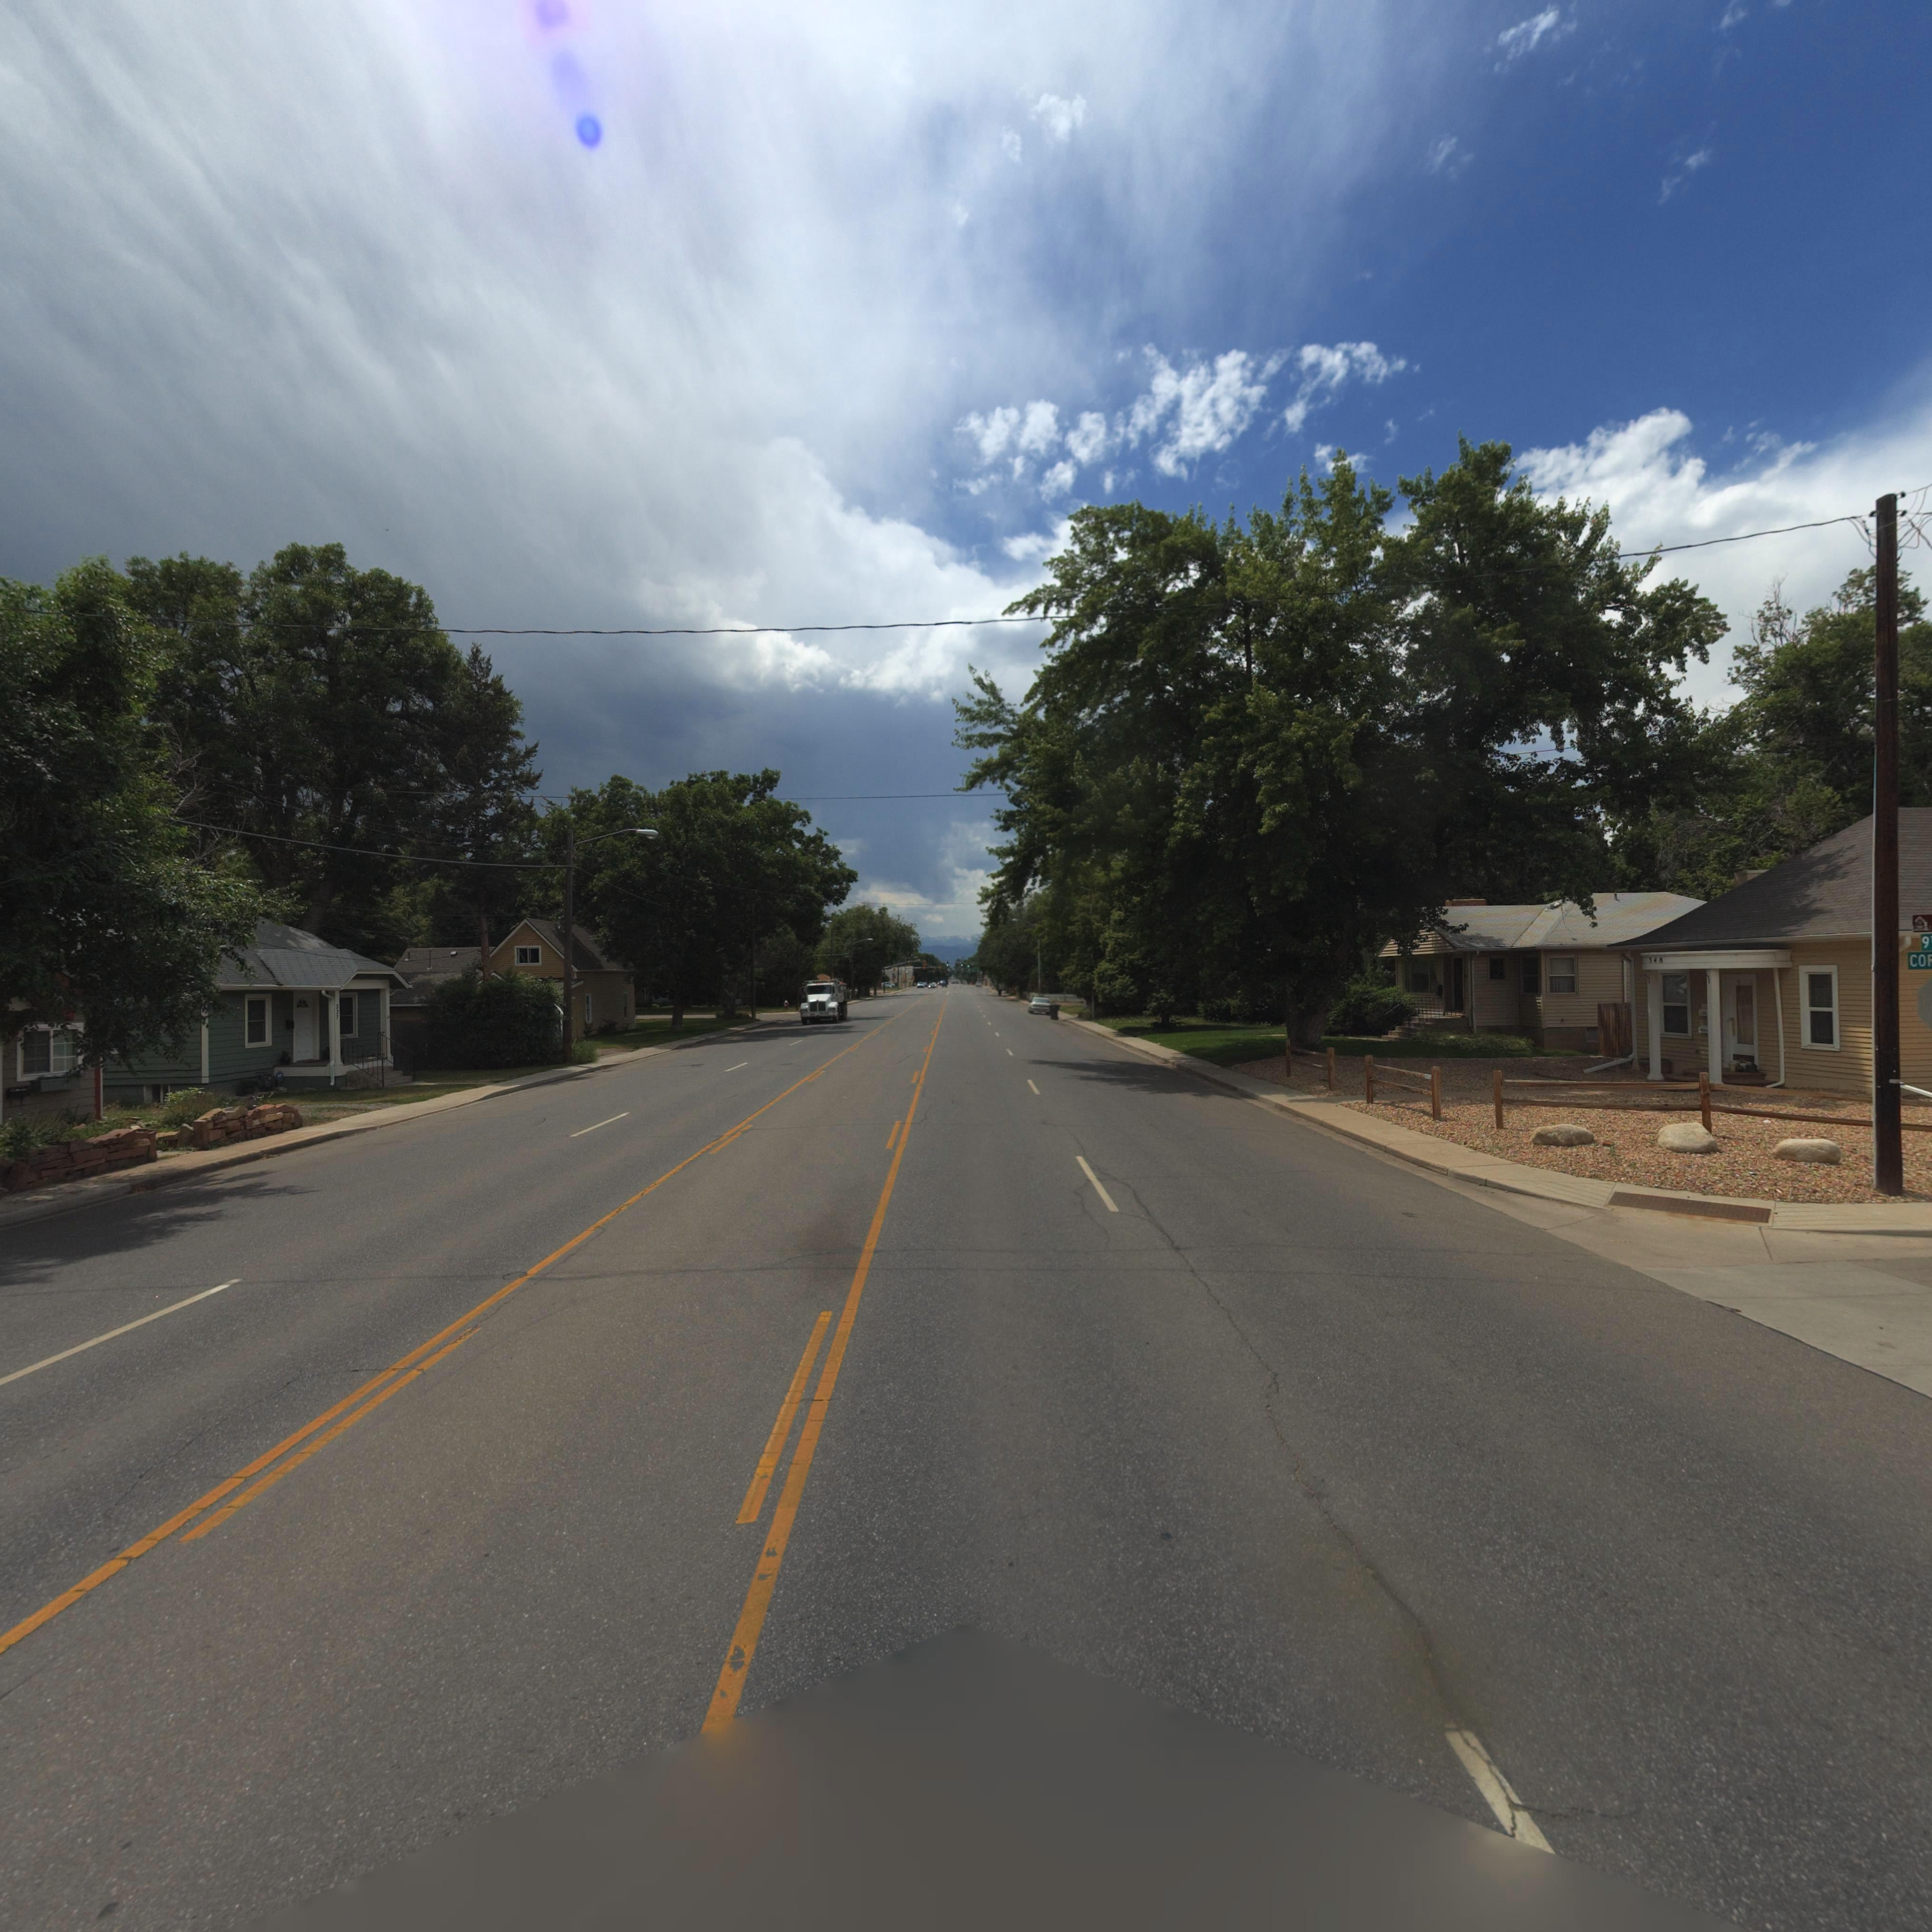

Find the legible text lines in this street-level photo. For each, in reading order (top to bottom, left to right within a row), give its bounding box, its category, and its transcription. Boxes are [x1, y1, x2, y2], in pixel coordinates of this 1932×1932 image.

[1922, 935, 1929, 949] StreetName: 9
[1649, 956, 1662, 963] StreetNumber: *48
[1909, 954, 1926, 967] StreetName: CO
[336, 1003, 338, 1019] StreetNumber: 337